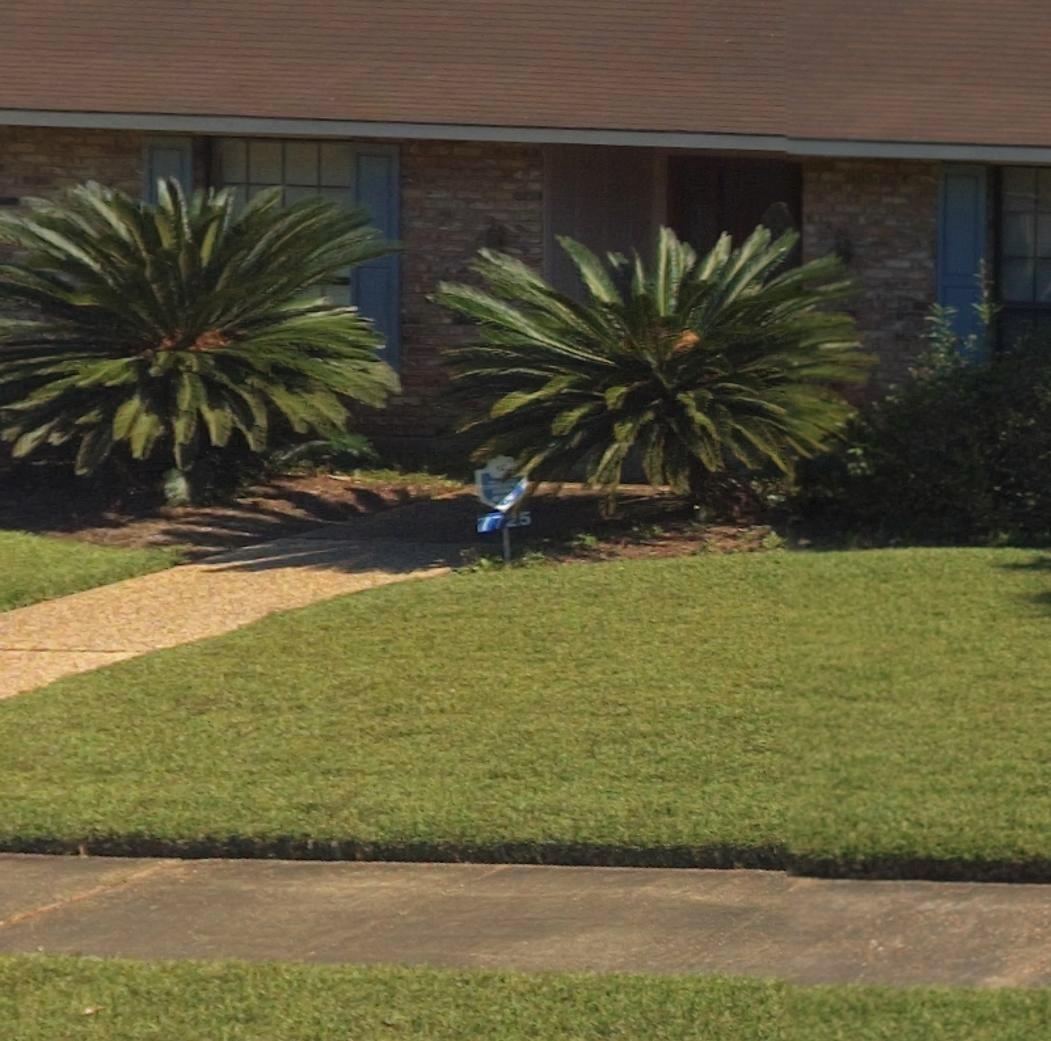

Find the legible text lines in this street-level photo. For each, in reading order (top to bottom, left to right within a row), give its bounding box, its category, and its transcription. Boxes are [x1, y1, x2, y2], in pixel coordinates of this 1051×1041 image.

[477, 510, 533, 532] StreetNumber: 7725